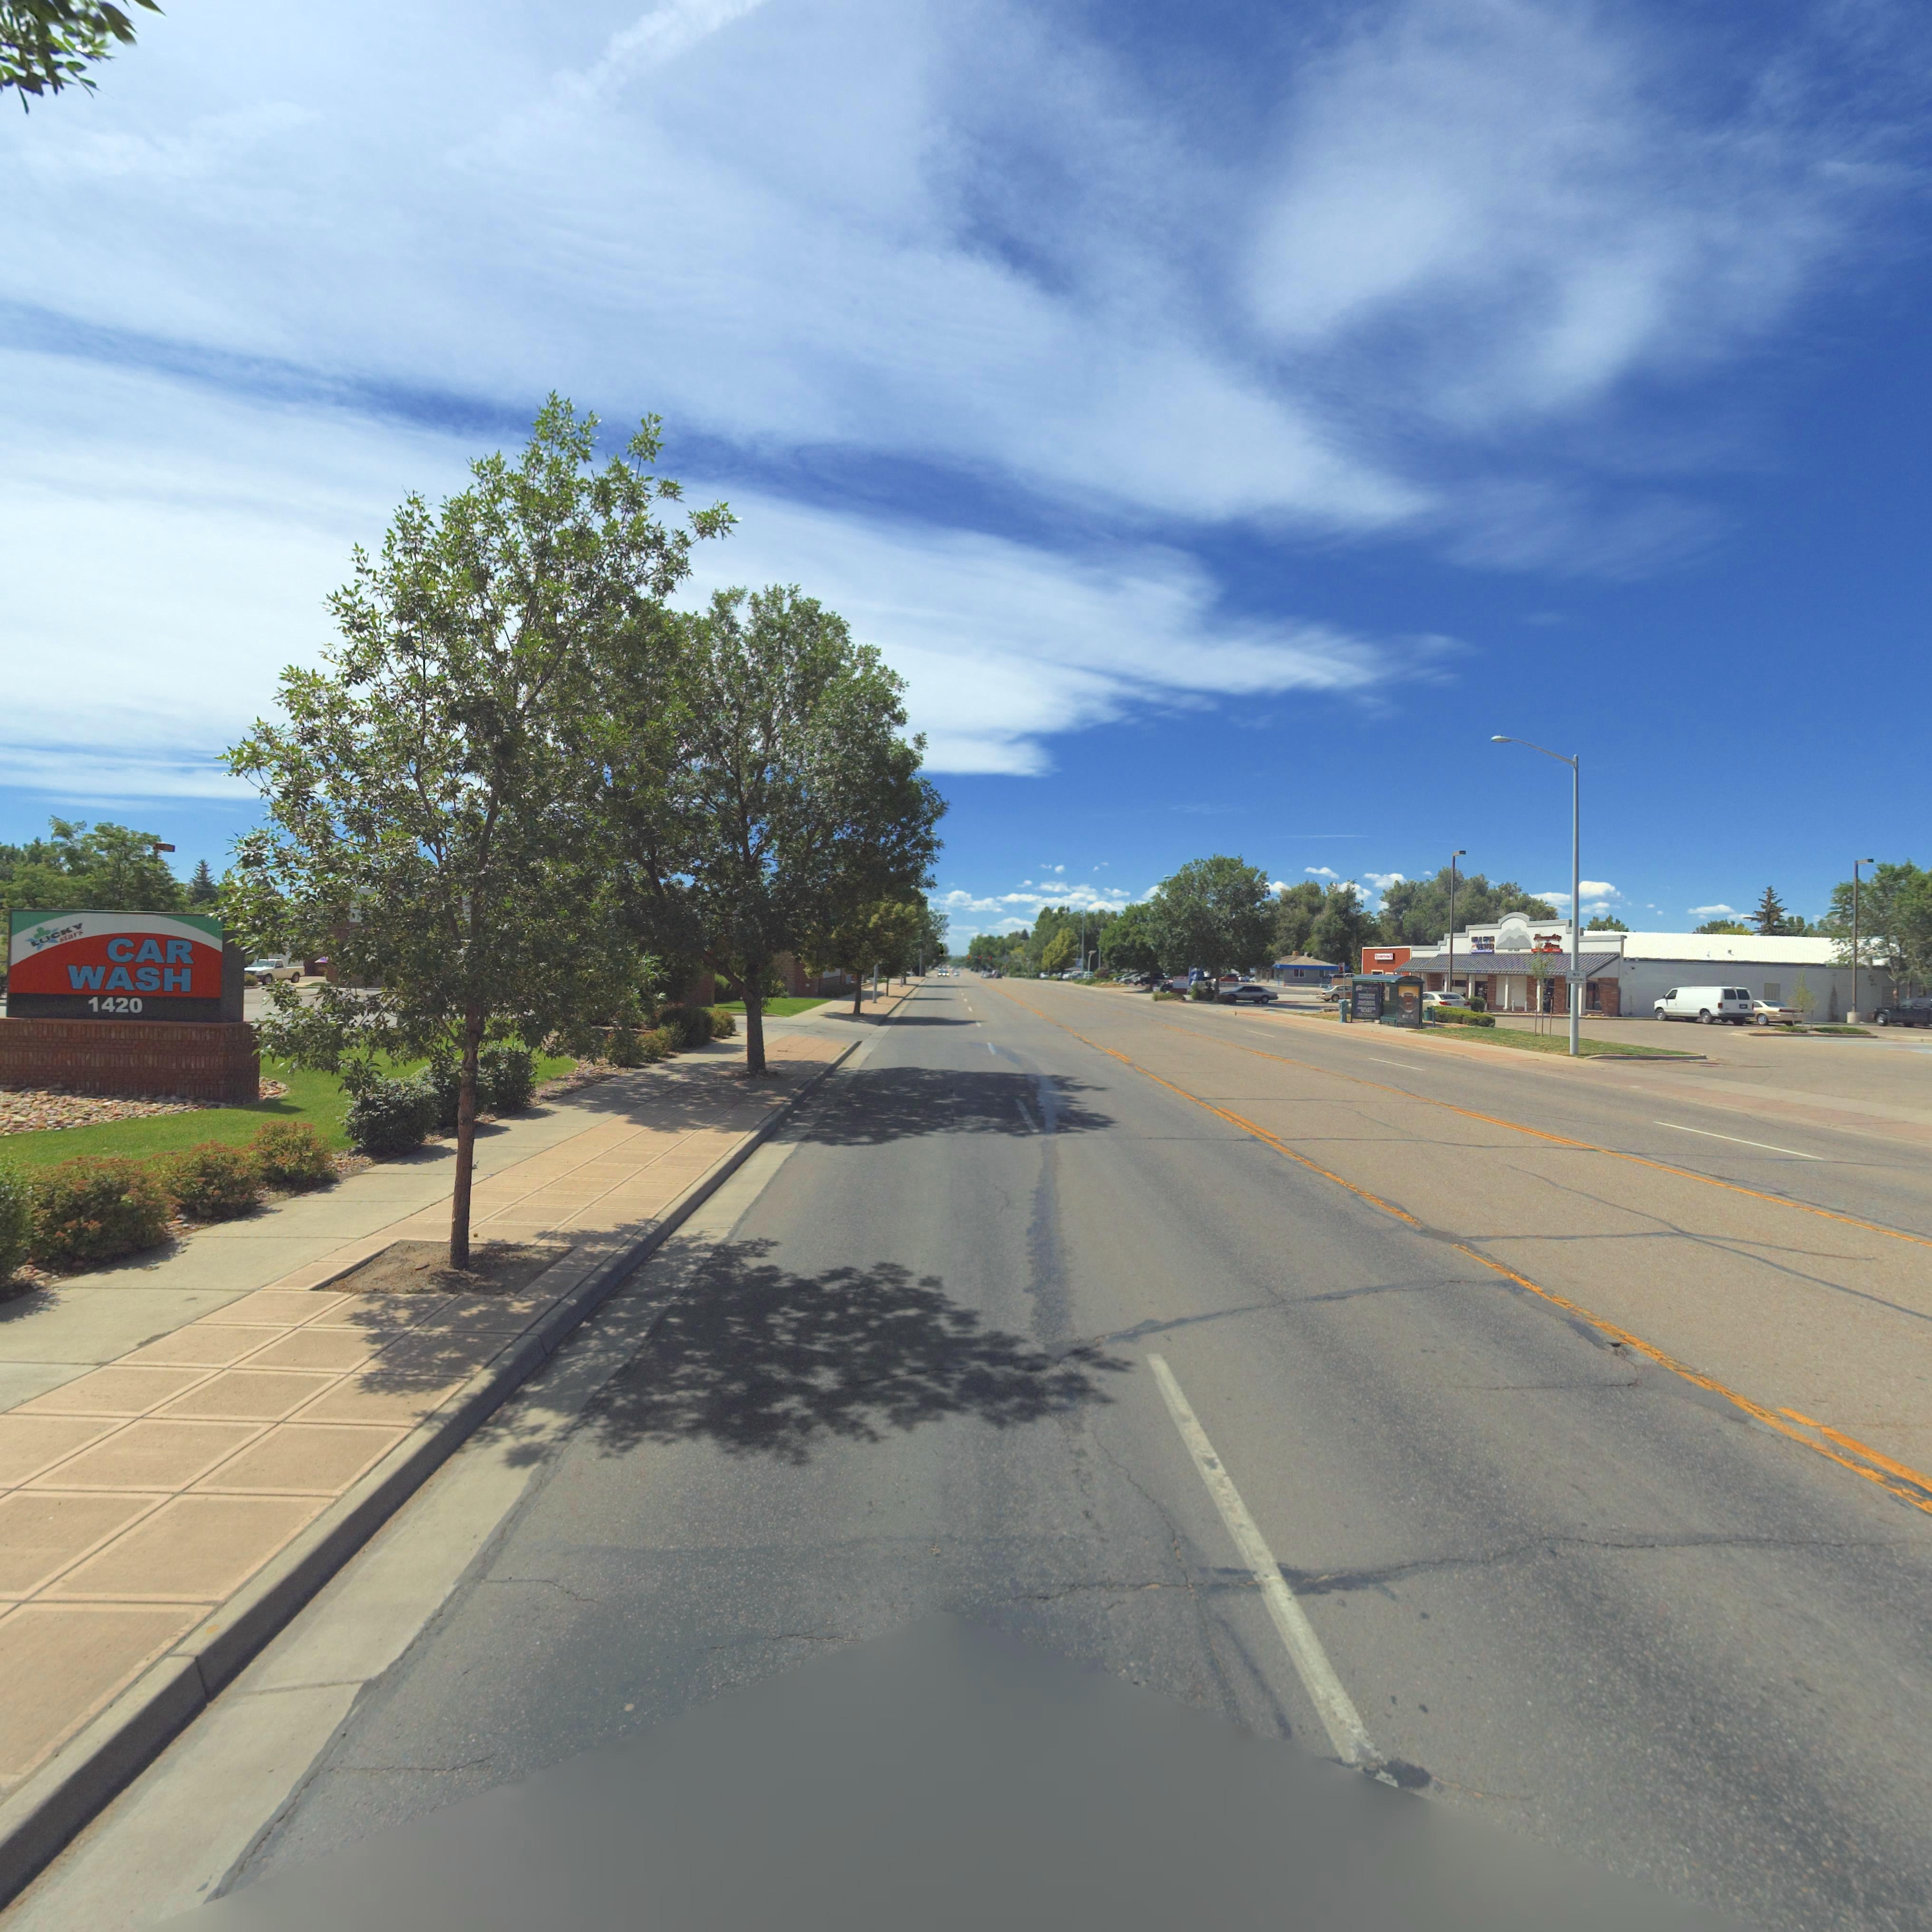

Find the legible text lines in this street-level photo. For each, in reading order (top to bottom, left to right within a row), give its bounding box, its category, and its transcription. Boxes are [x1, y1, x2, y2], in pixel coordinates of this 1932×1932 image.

[29, 921, 83, 947] BusinessName: LUCKY
[59, 927, 84, 943] BusinessName: stars
[105, 937, 194, 965] BusinessName: CAR
[66, 964, 192, 994] BusinessName: WASH
[87, 995, 144, 1014] StreetNumber: 1420